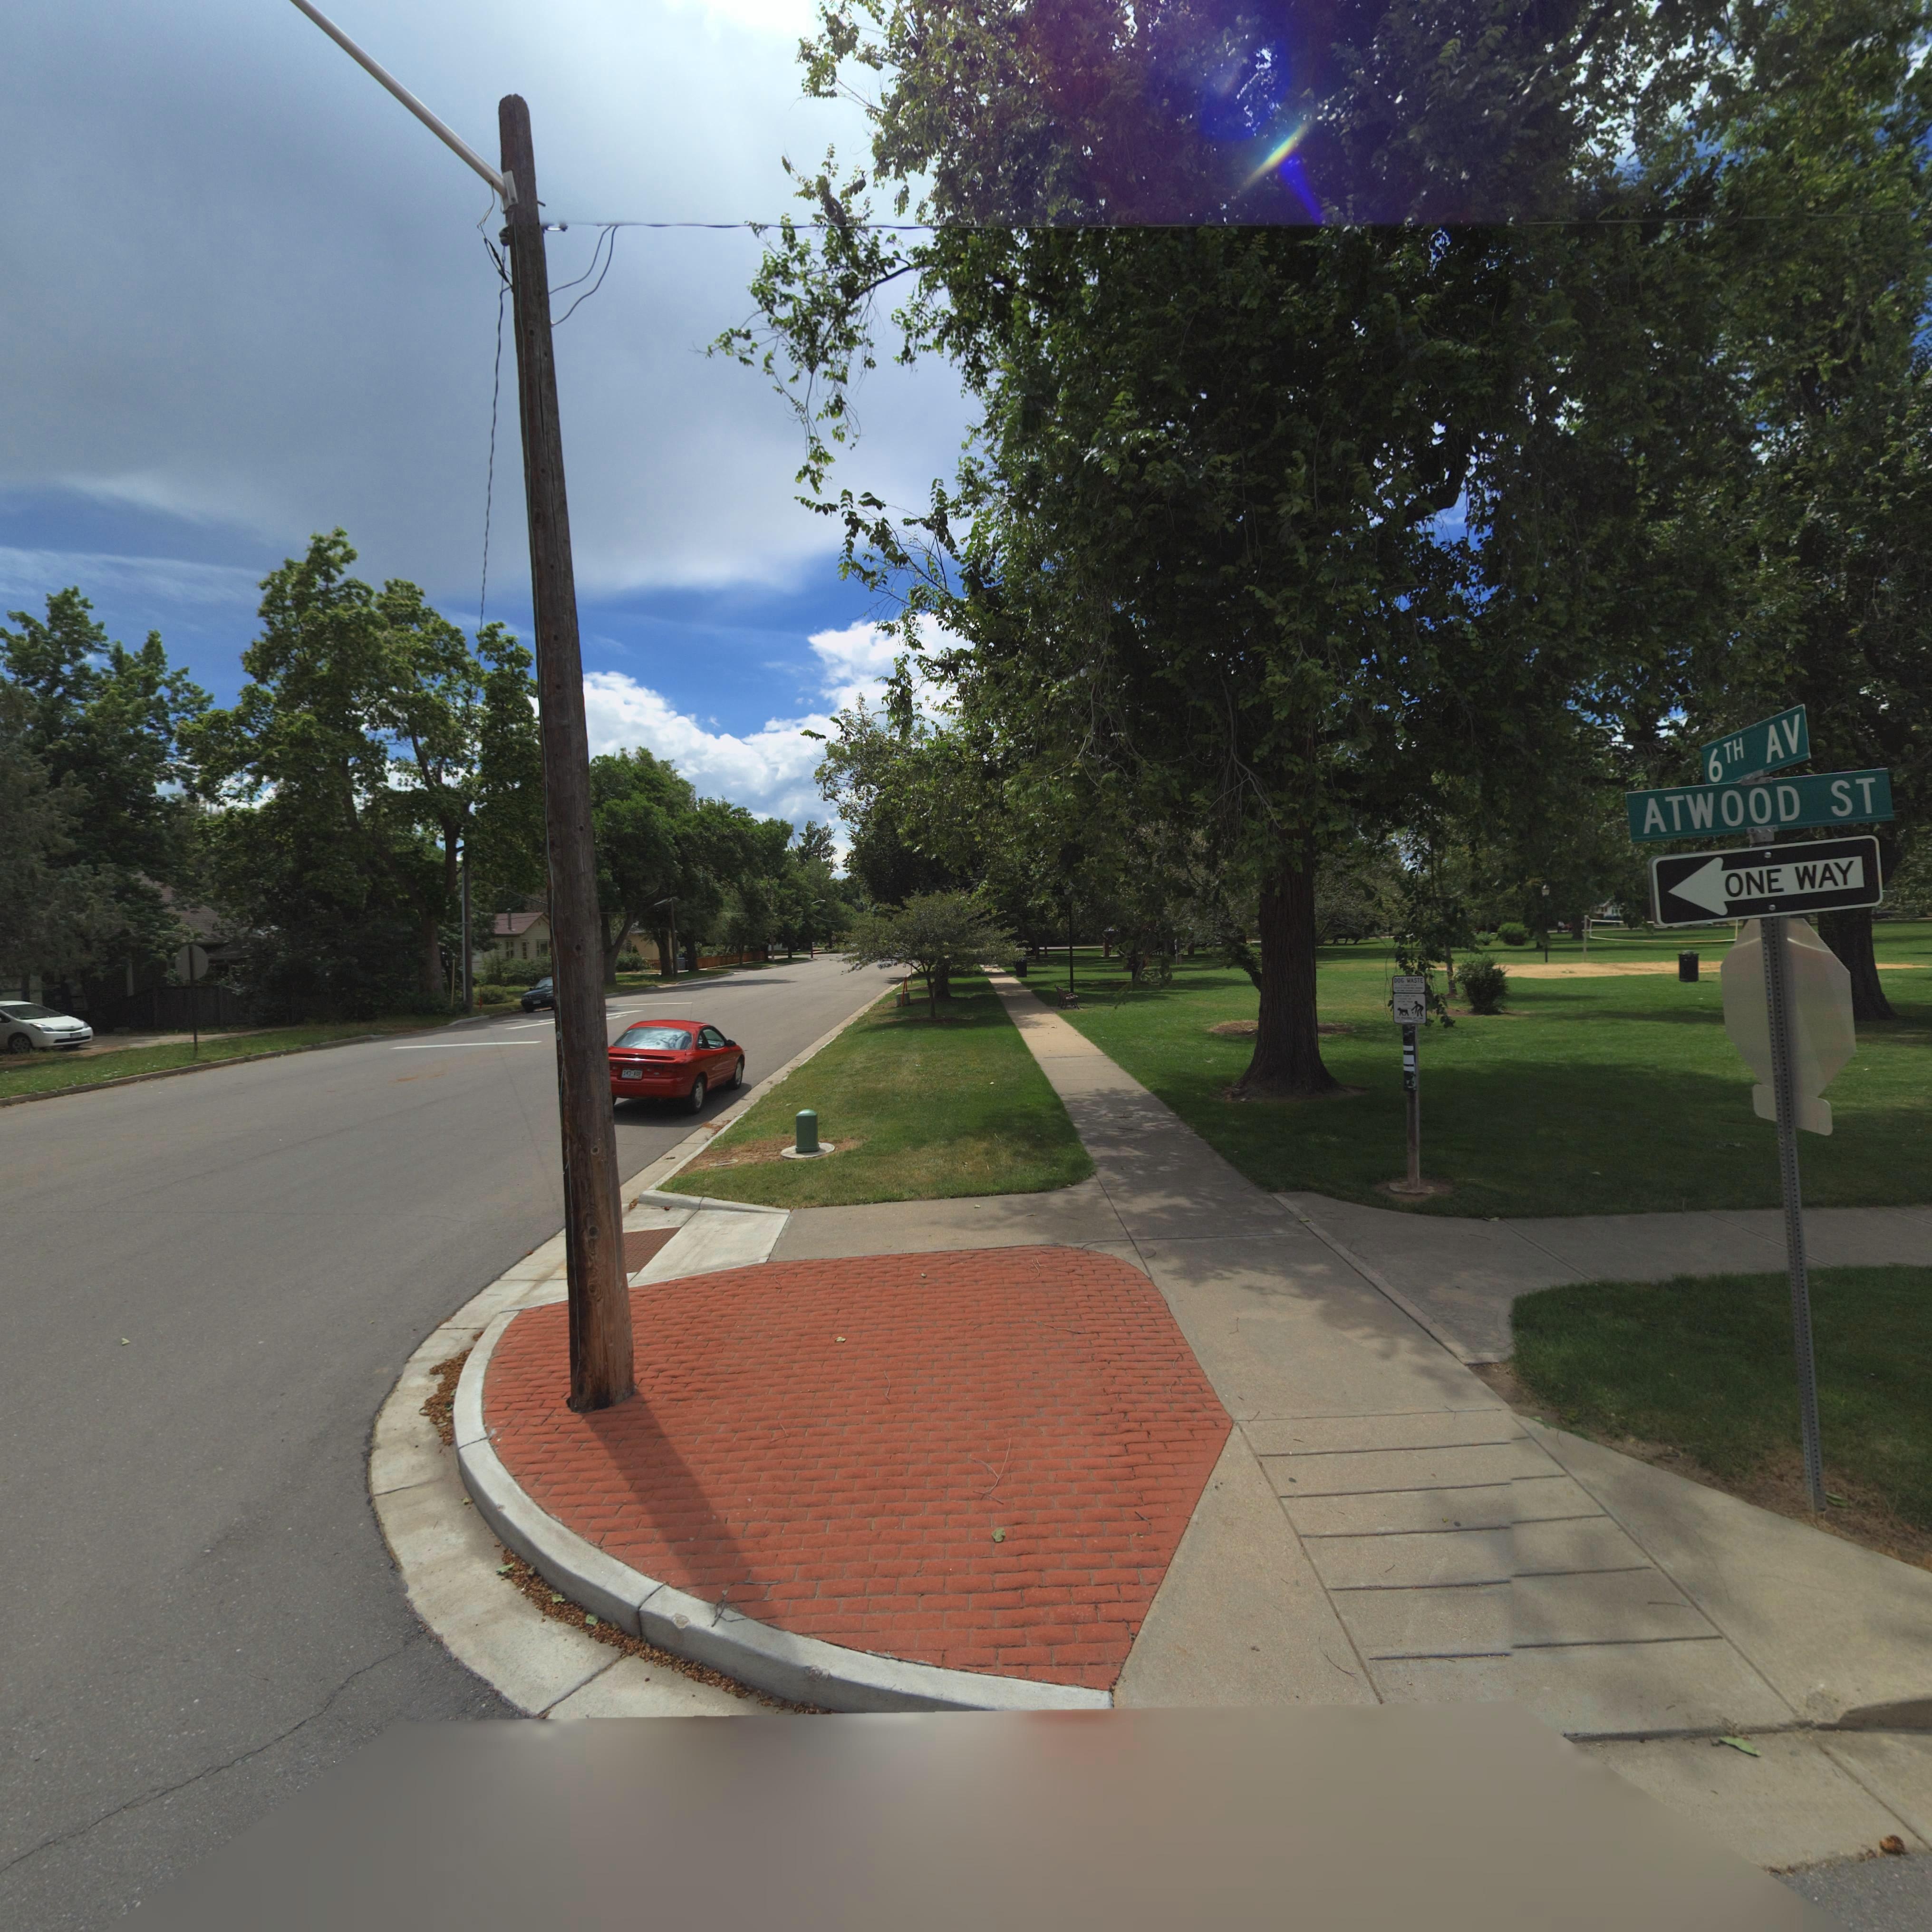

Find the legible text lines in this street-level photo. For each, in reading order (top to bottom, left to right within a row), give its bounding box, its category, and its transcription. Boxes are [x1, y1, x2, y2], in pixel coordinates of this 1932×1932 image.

[1707, 712, 1800, 783] StreetName: 6TH AV
[1642, 777, 1876, 834] StreetName: ATWOOD ST